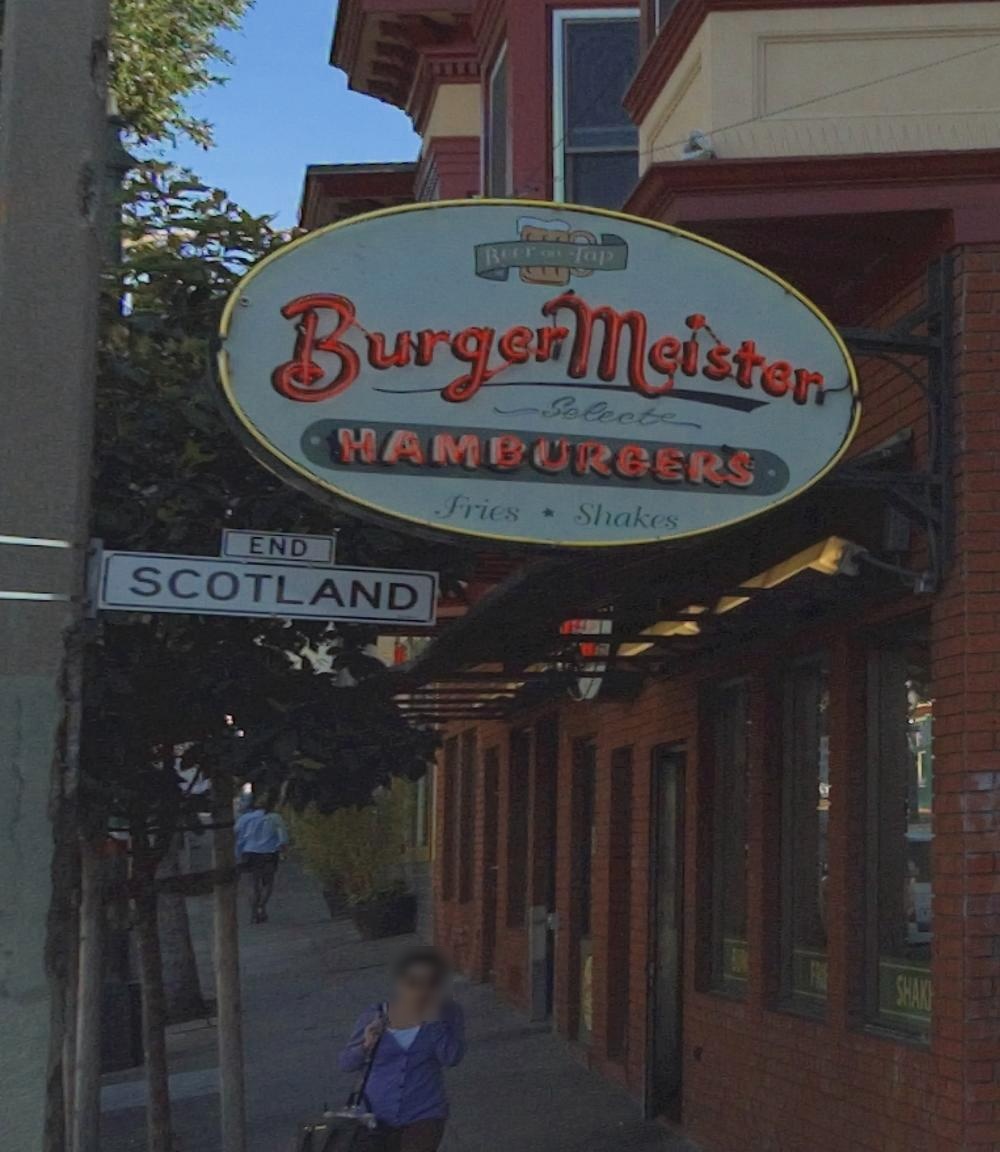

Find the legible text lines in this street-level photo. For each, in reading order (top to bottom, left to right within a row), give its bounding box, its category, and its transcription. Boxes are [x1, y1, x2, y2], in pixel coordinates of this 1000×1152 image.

[259, 284, 832, 410] BusinessName: BurgerMeister
[536, 390, 674, 430] None: Select
[332, 419, 762, 493] None: HAMBURGERS
[431, 489, 682, 533] None: Fries * Shakes
[247, 532, 311, 560] None: END
[122, 561, 423, 617] StreetName: SCOTLAND